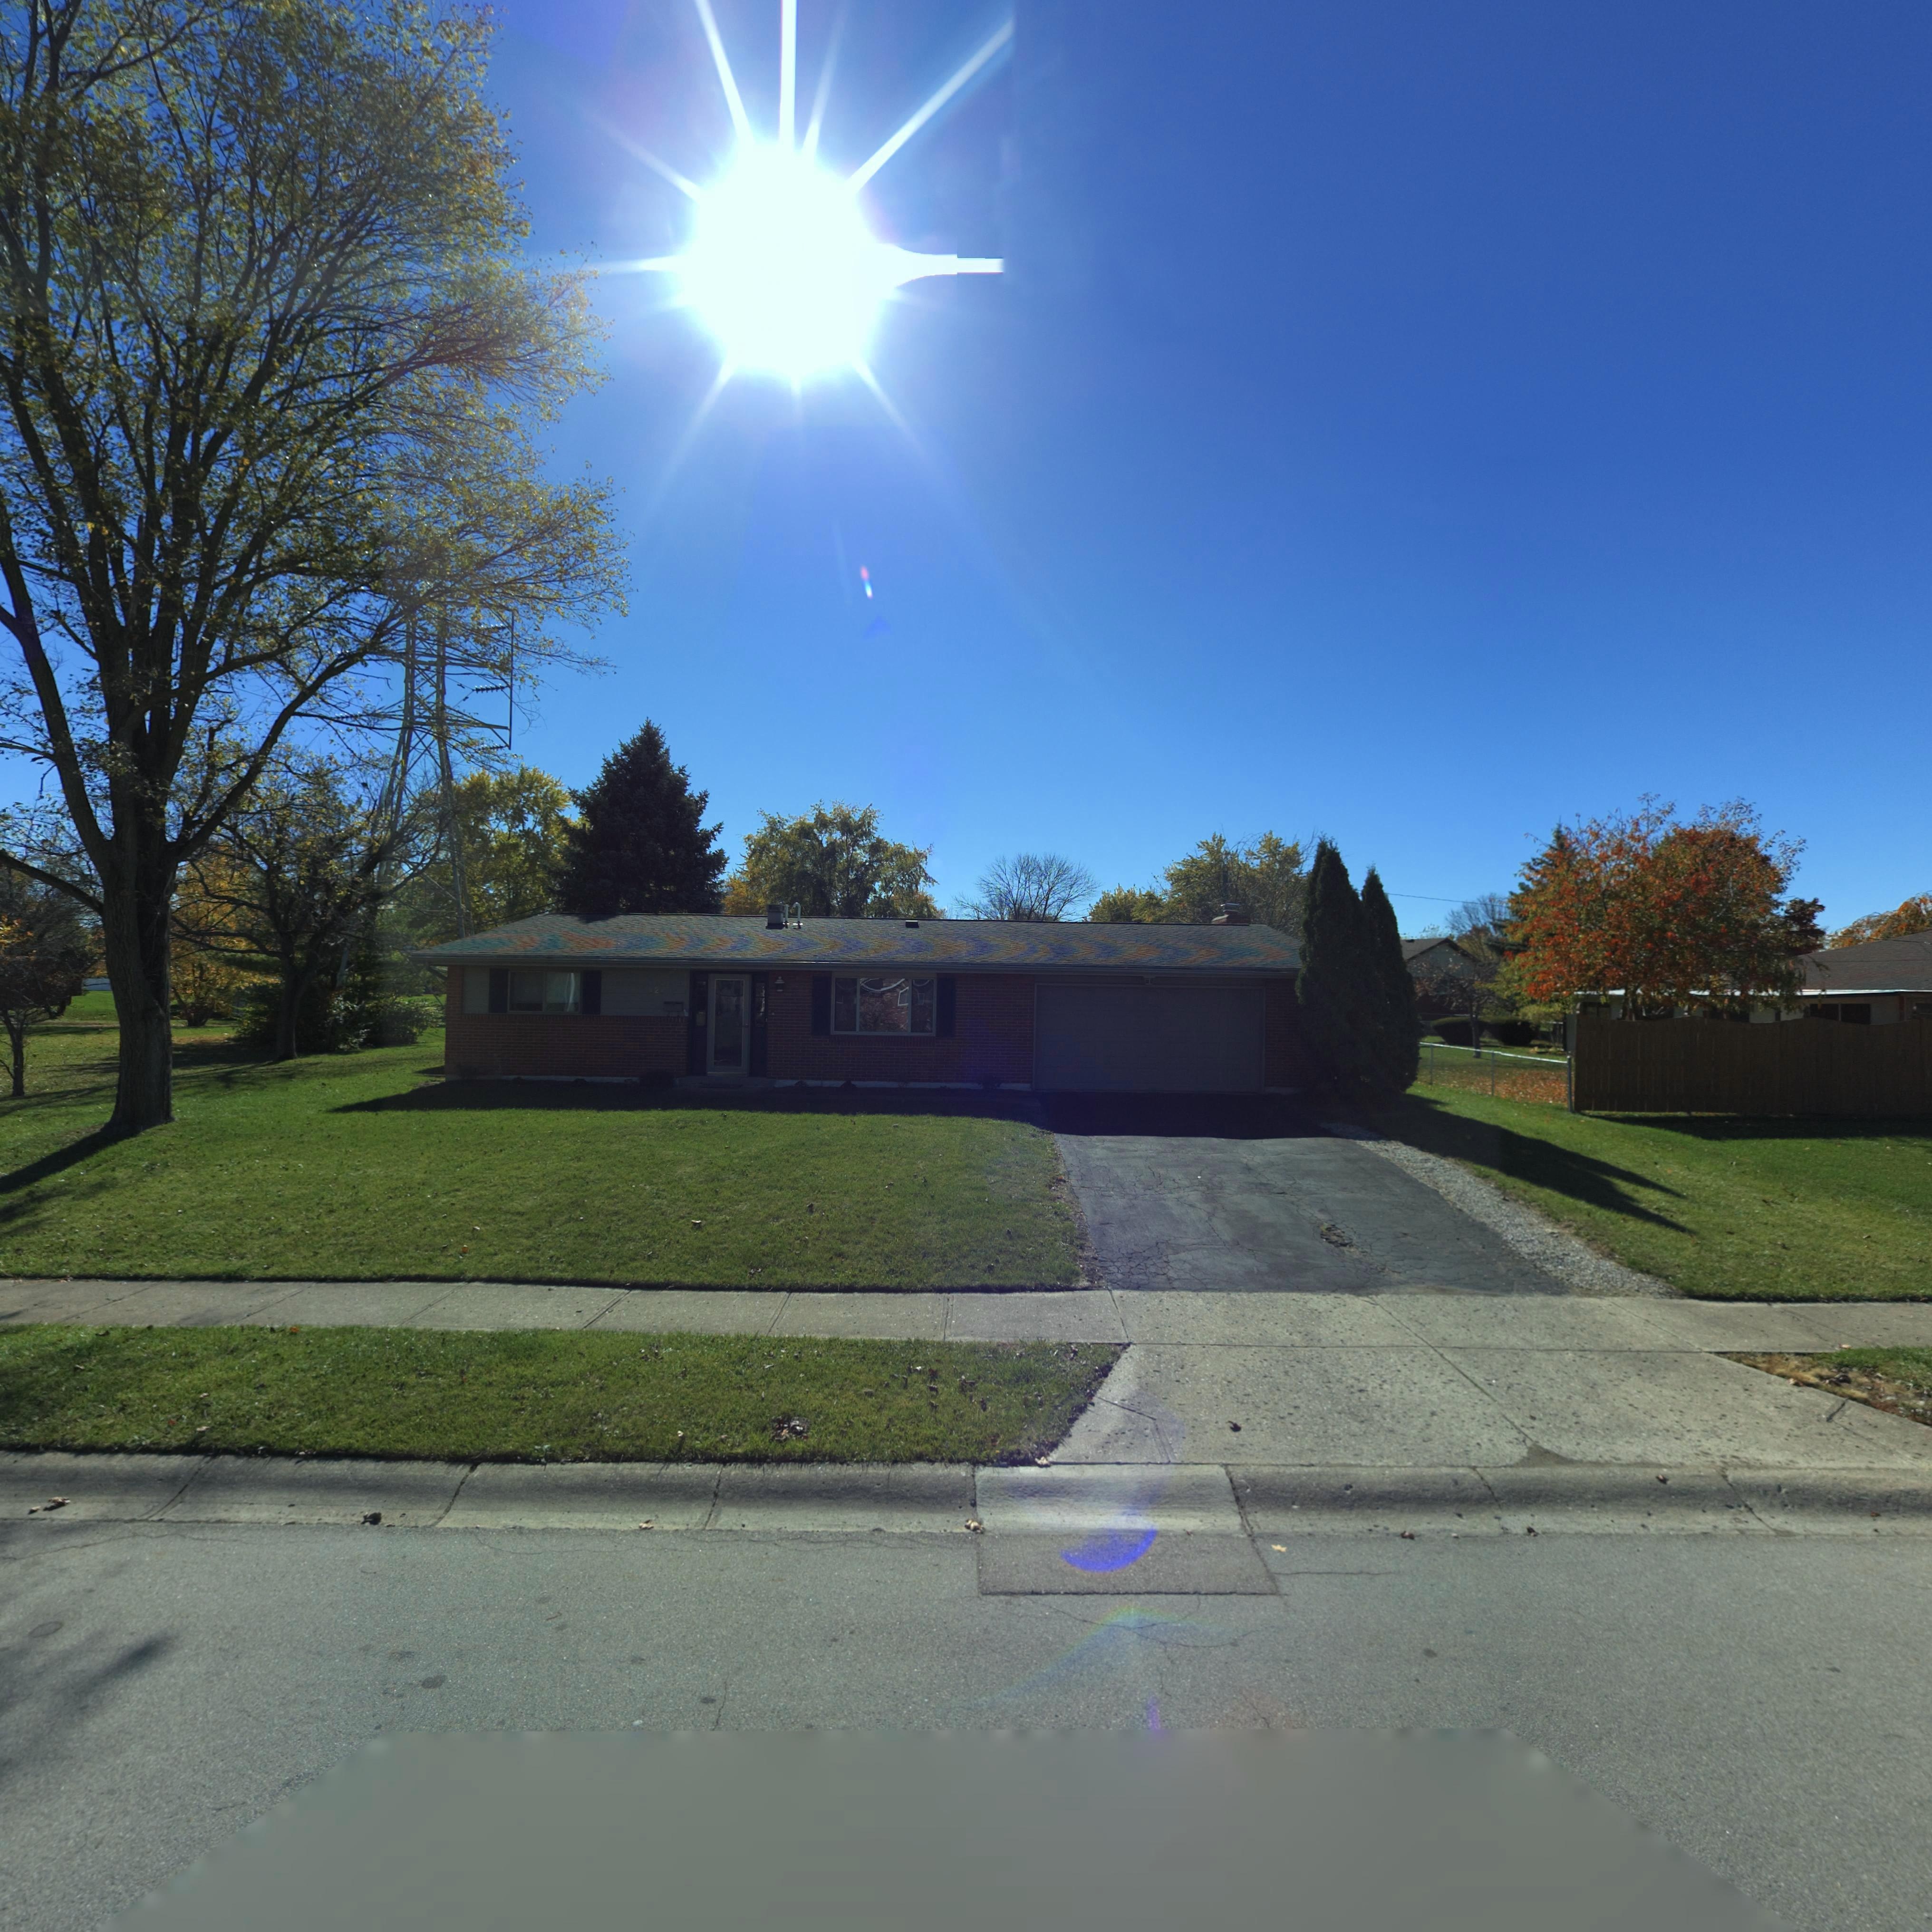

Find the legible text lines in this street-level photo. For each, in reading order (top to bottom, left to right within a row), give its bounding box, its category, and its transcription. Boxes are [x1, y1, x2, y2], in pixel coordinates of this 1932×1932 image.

[648, 986, 665, 994] StreetNumber: 42*